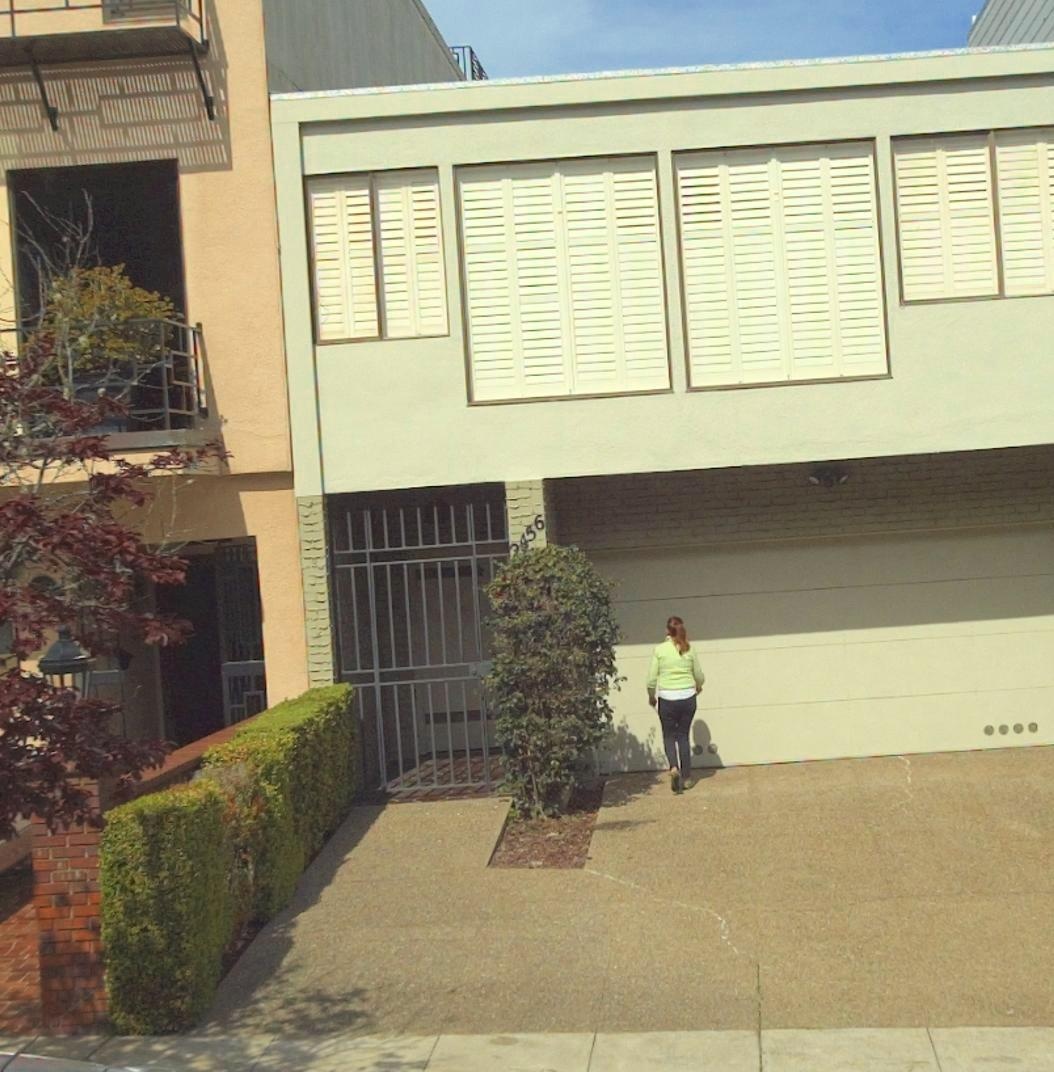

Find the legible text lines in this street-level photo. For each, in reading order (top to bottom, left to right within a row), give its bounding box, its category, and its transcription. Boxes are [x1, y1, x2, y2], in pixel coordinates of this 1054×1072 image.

[514, 512, 547, 551] StreetNumber: 456